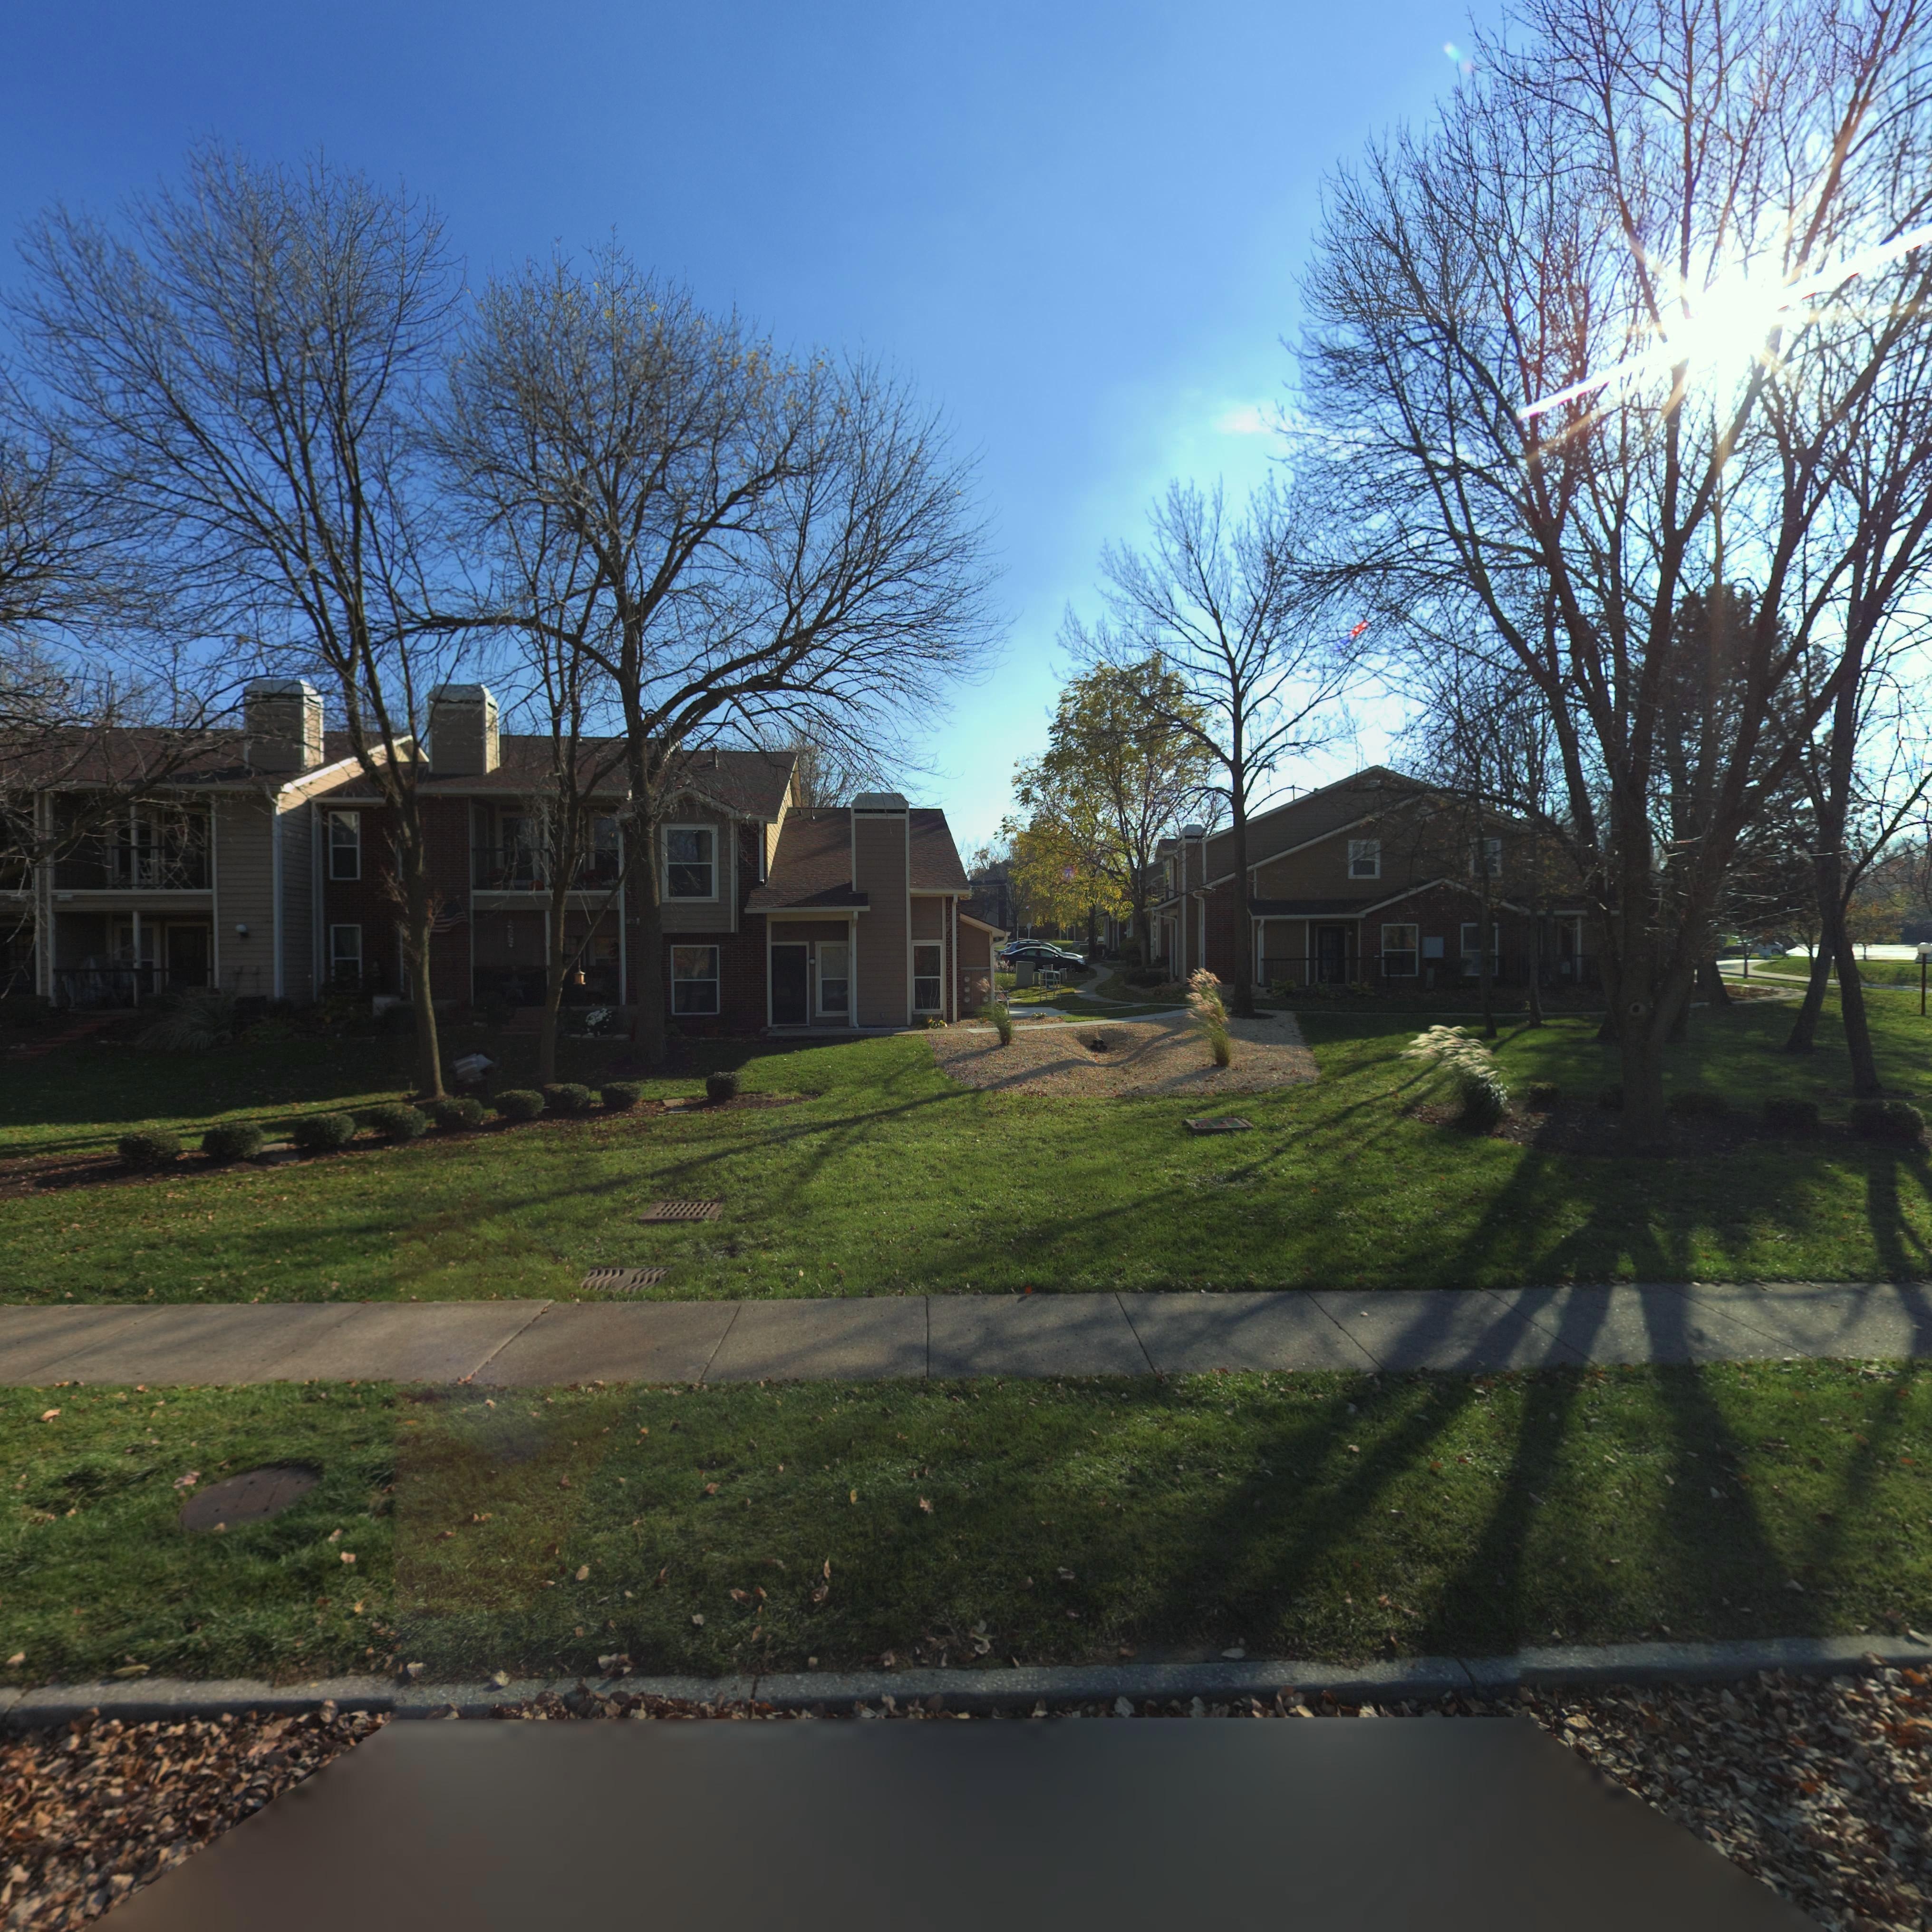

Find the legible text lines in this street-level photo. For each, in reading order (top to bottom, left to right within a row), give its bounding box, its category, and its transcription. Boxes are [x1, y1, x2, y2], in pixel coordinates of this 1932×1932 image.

[783, 931, 792, 936] StreetNumber: 7*5